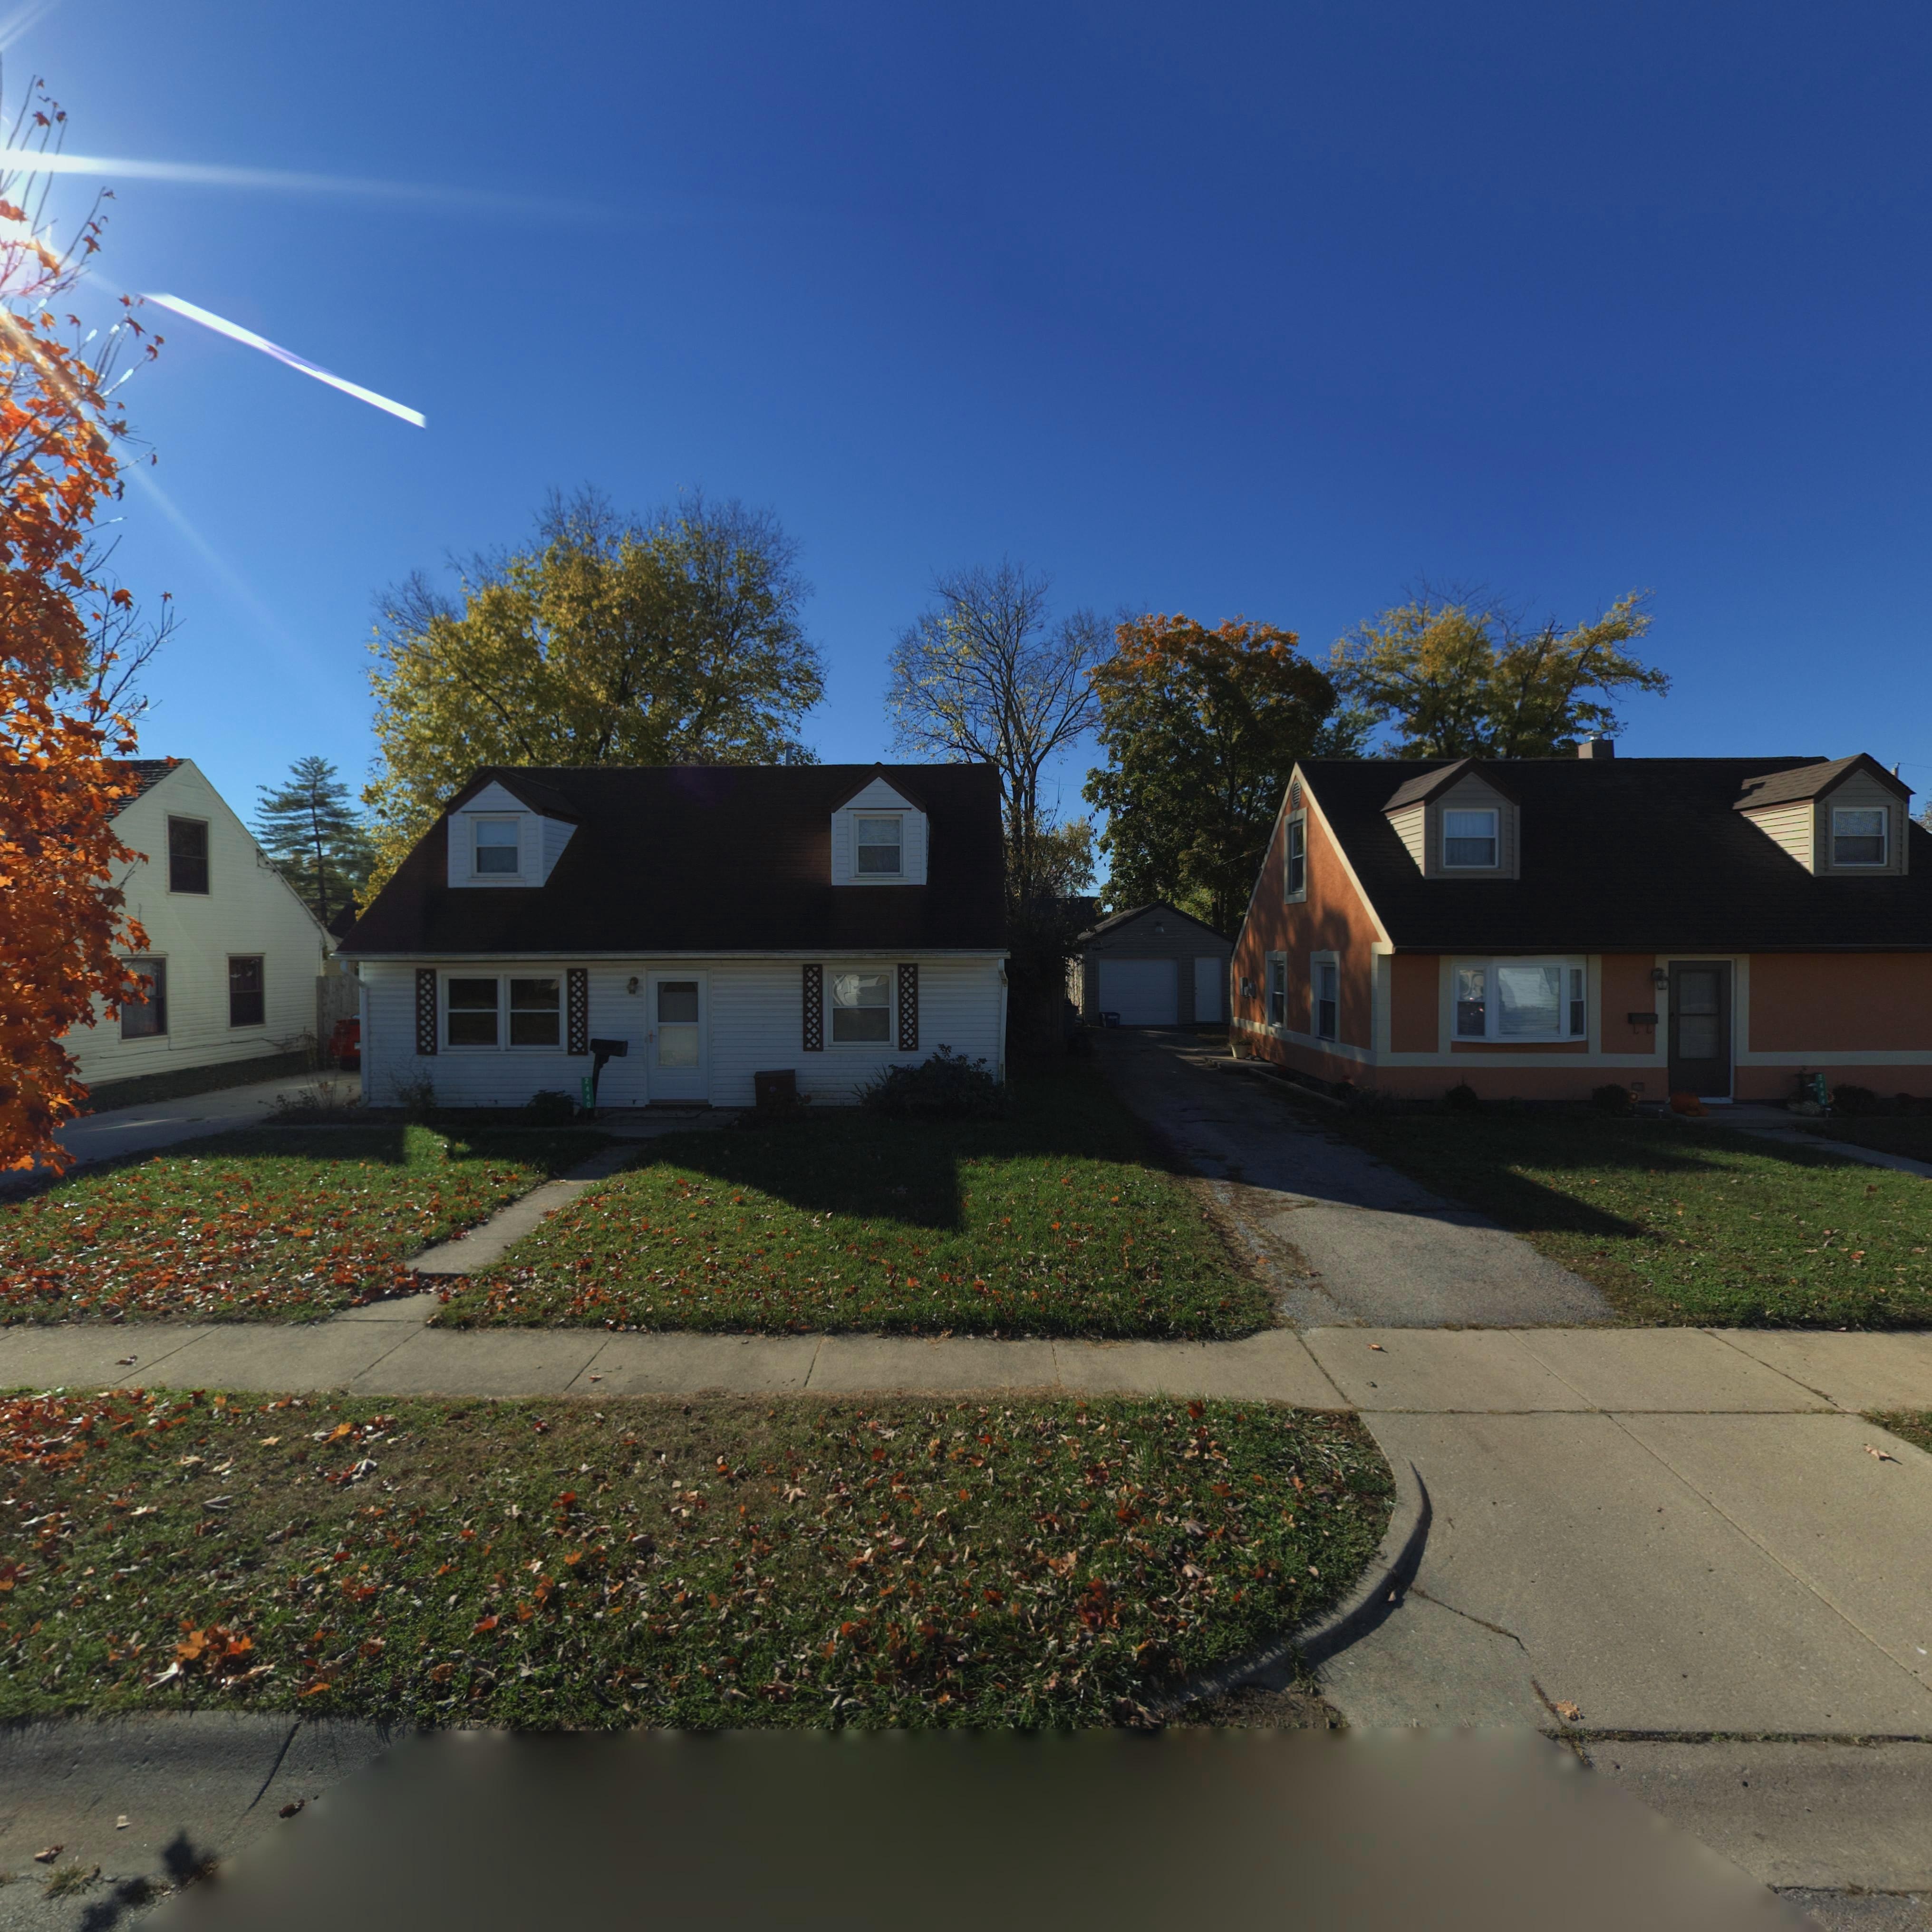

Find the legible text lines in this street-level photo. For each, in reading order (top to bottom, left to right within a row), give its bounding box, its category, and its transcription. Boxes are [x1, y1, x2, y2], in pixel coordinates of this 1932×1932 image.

[583, 1077, 592, 1110] StreetNumber: 2440
[1816, 1072, 1827, 1106] StreetNumber: 2***